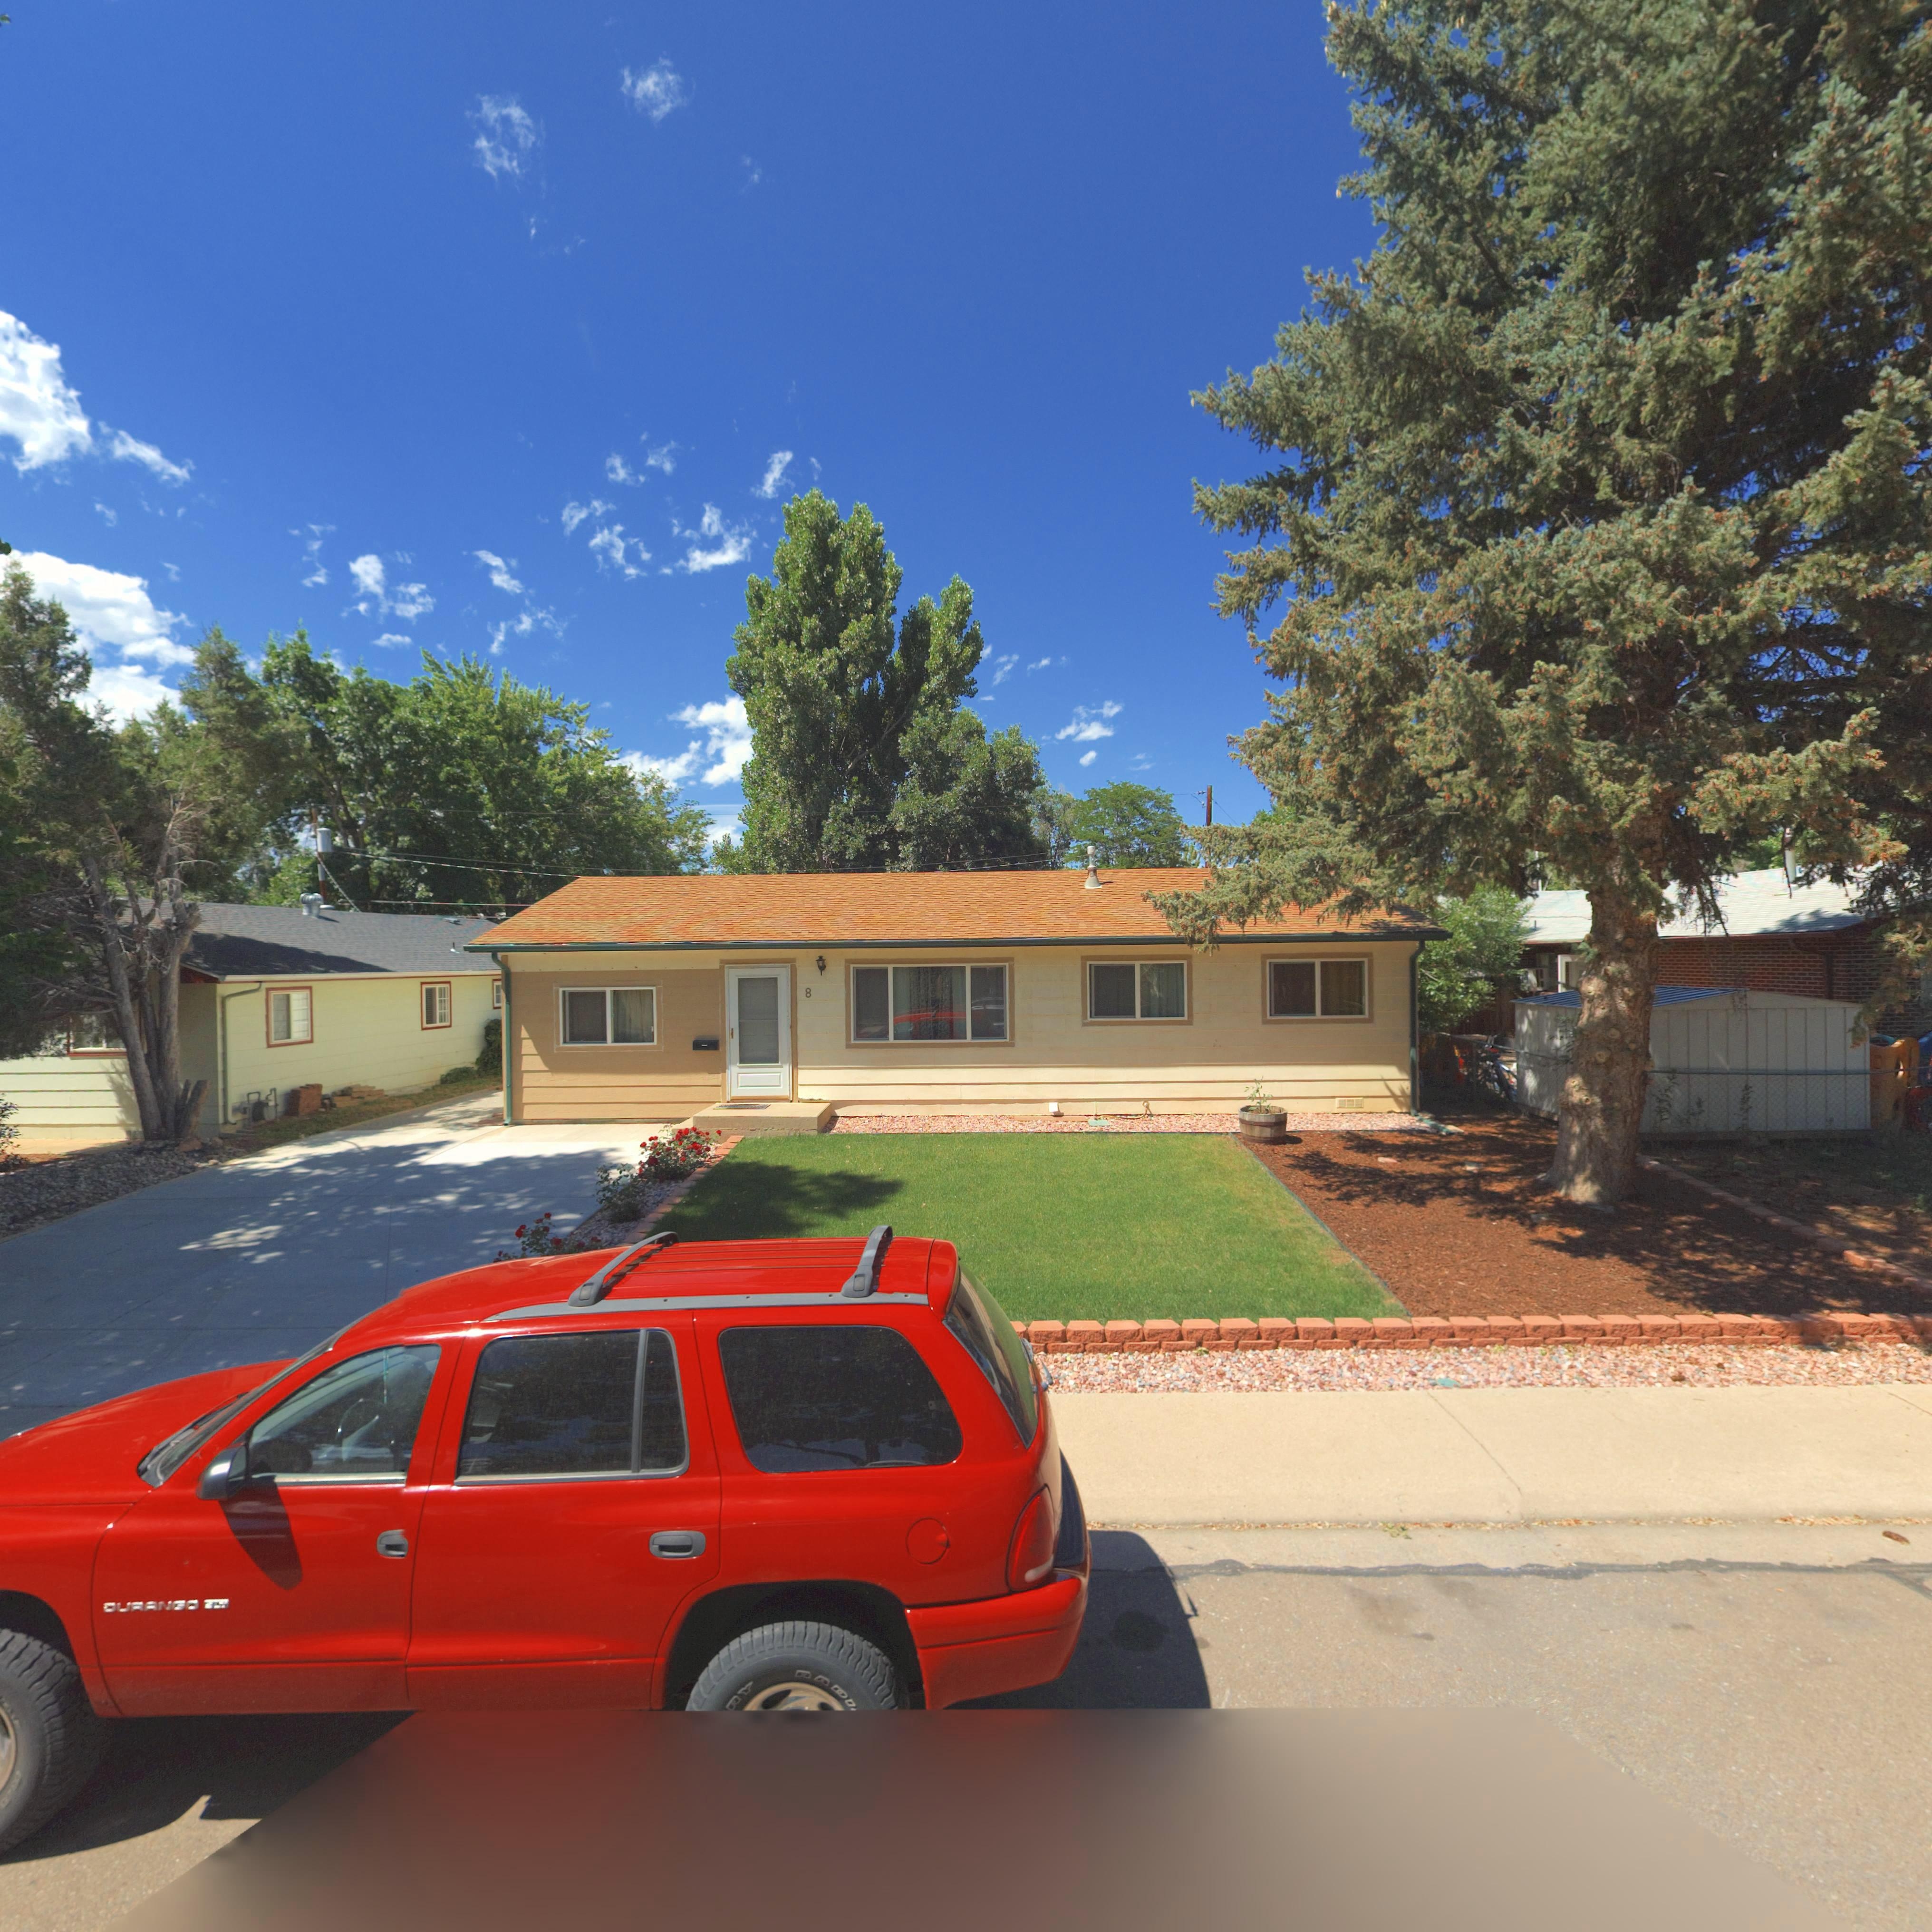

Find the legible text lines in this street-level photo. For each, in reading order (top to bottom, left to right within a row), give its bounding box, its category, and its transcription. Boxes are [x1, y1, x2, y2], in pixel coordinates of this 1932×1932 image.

[805, 987, 811, 998] StreetNumber: 8